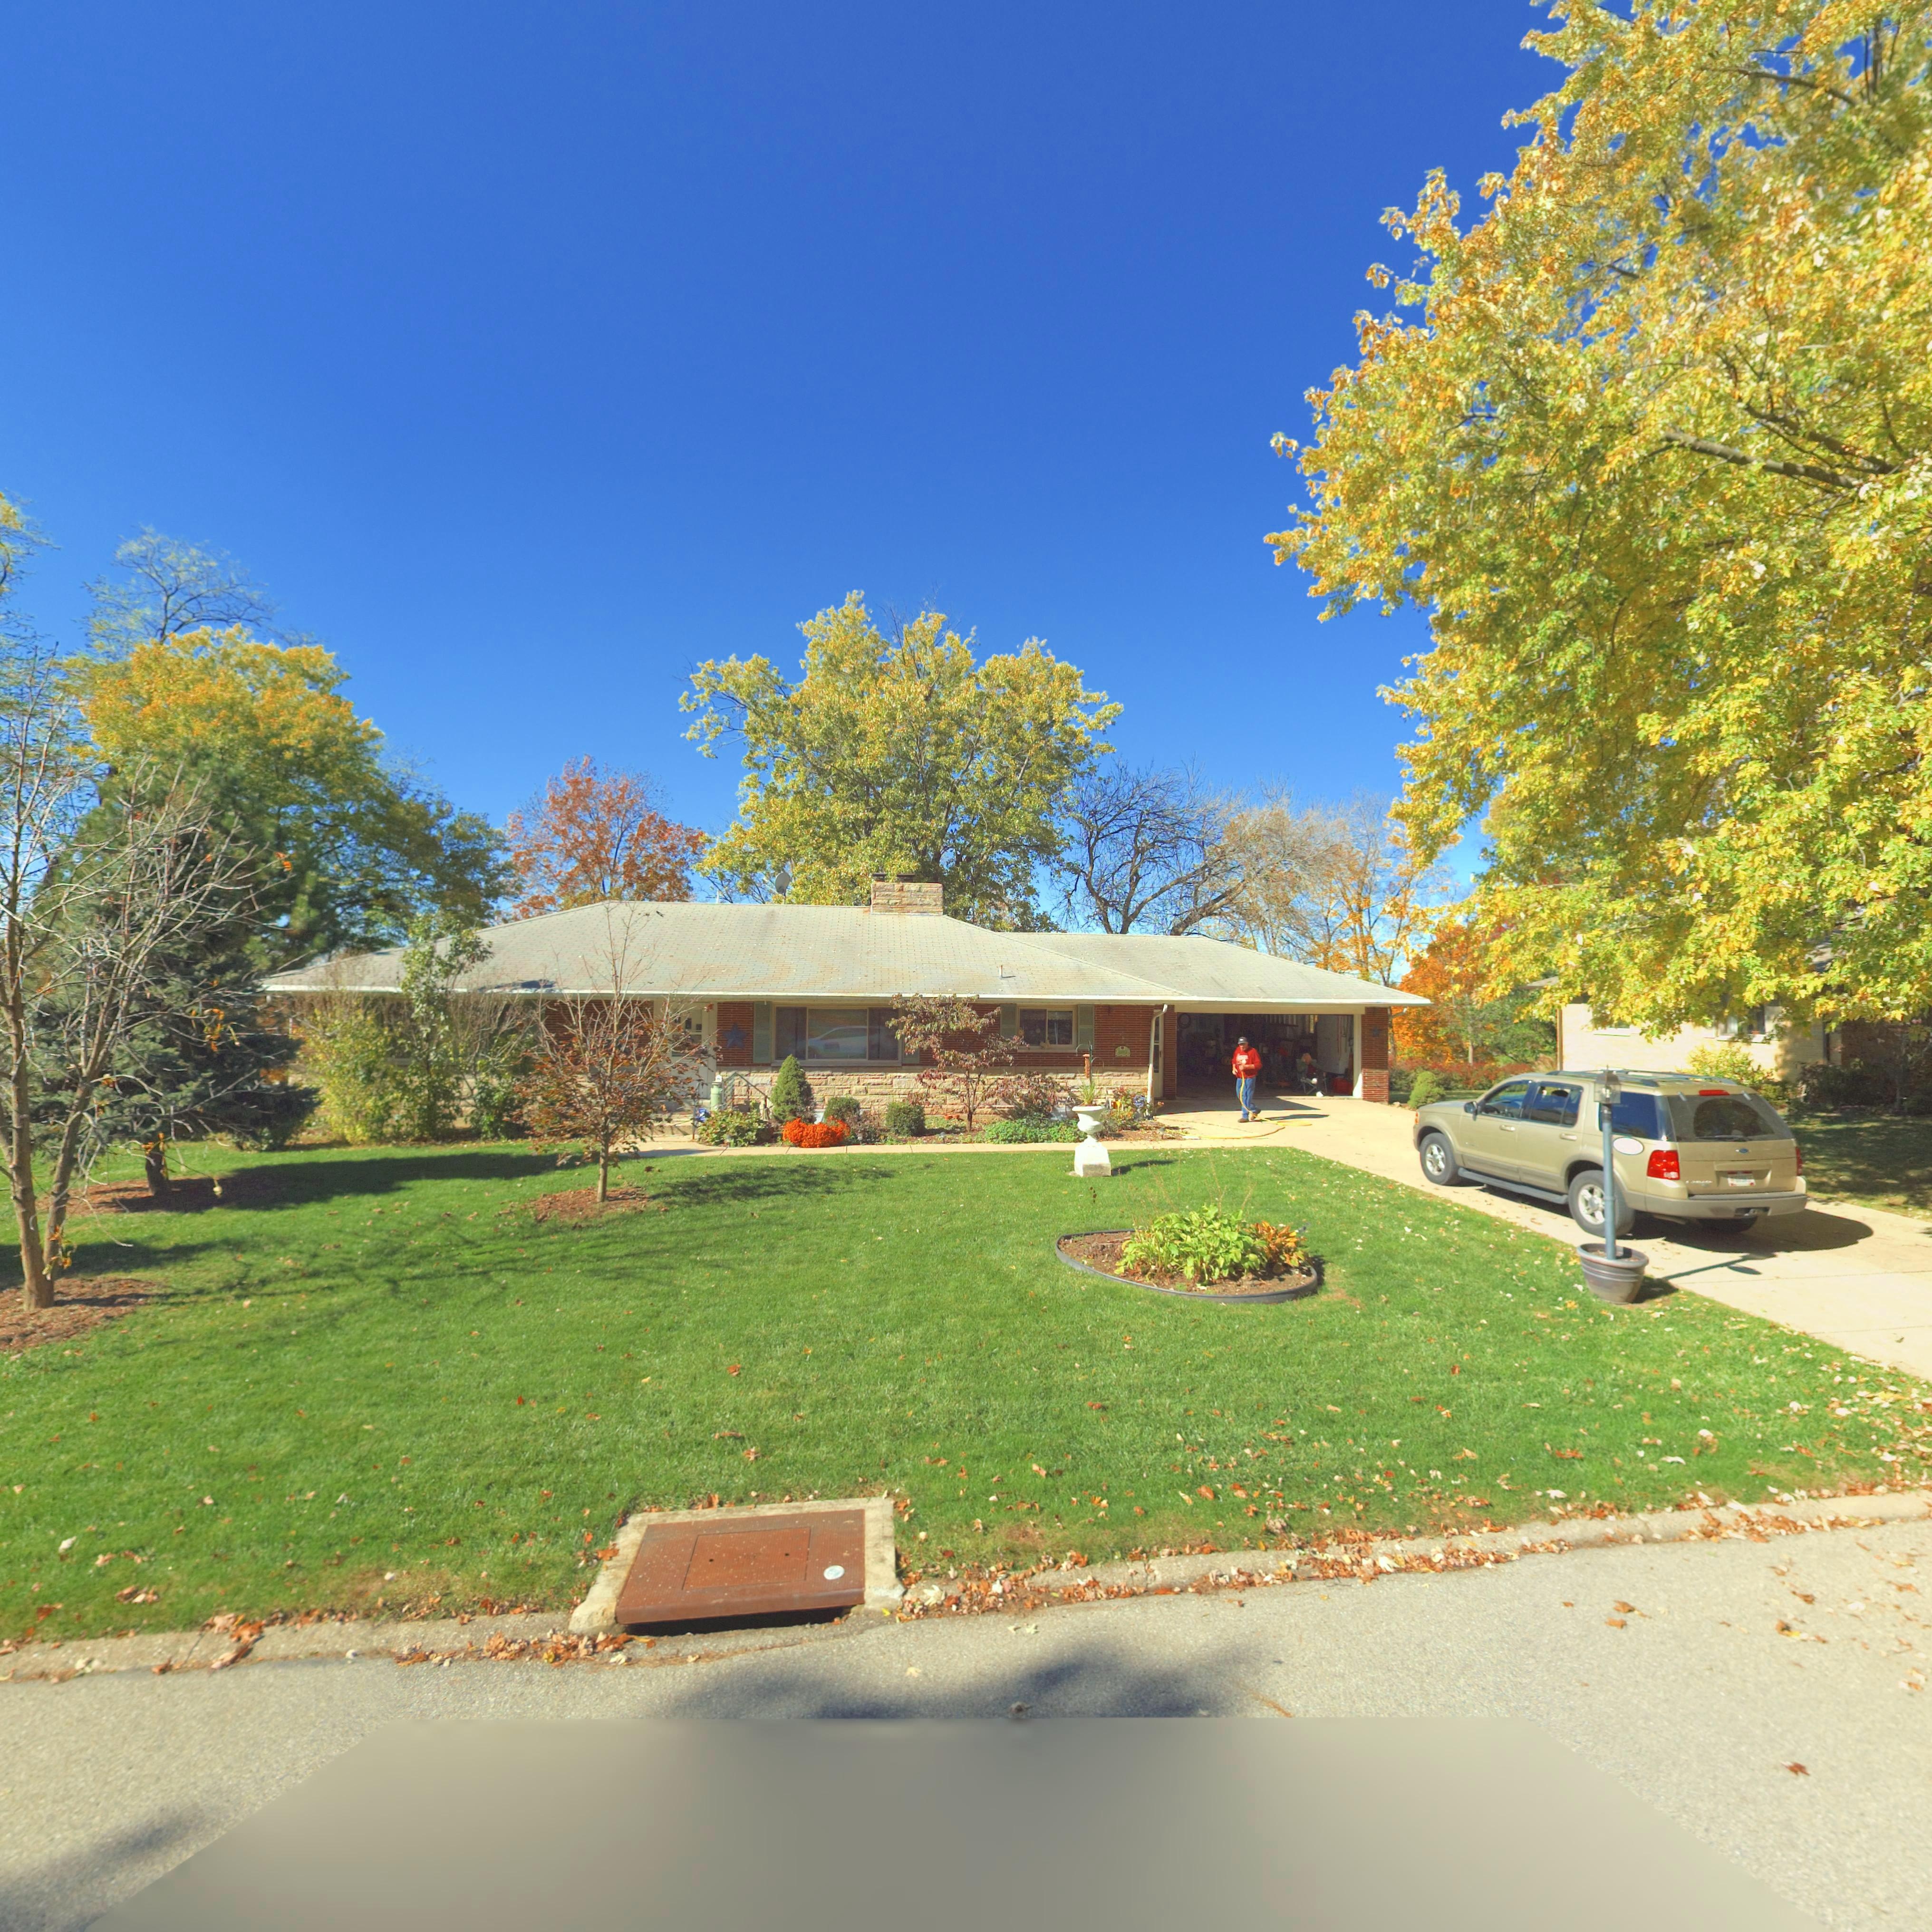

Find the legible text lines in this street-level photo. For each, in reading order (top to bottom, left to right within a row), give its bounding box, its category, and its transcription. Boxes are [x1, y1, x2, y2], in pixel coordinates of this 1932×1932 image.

[1118, 1049, 1127, 1054] StreetNumber: ***3